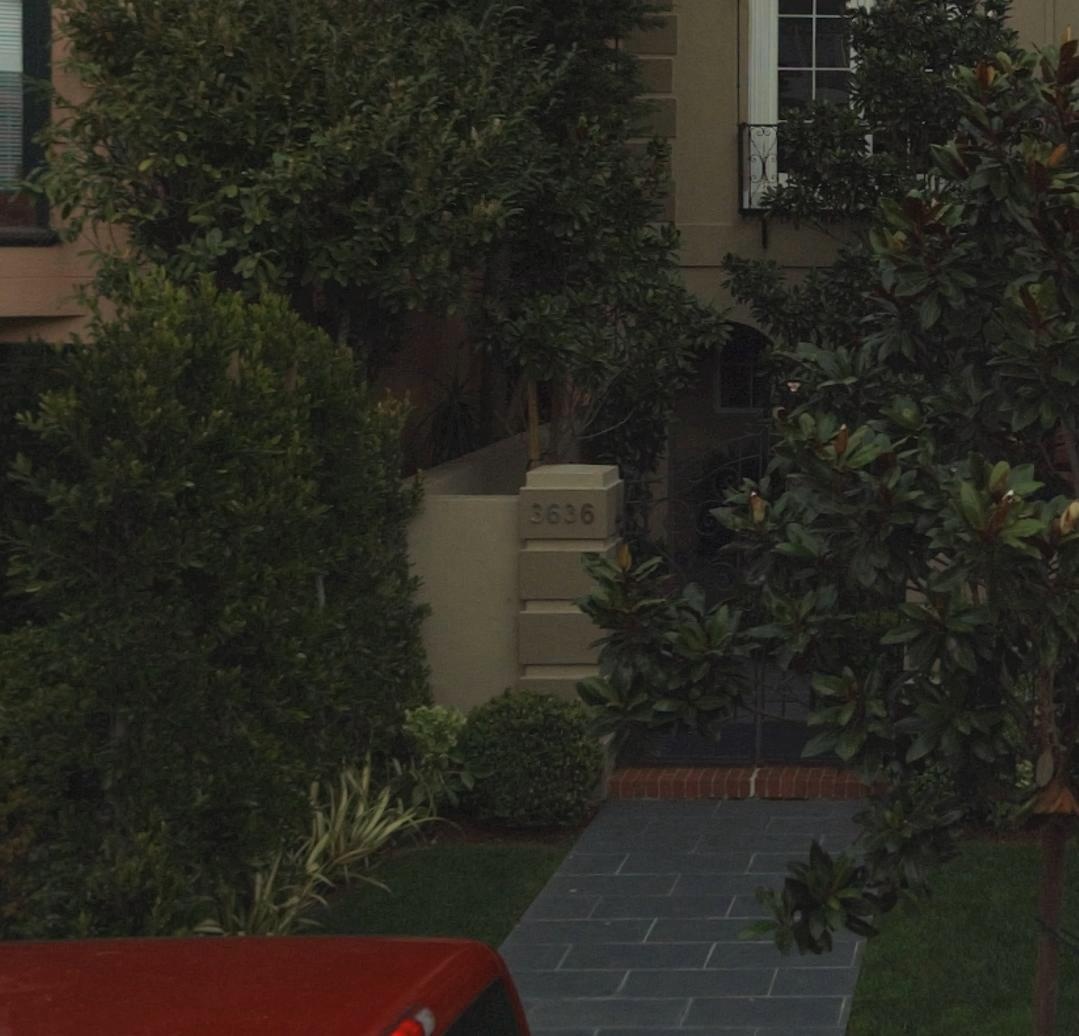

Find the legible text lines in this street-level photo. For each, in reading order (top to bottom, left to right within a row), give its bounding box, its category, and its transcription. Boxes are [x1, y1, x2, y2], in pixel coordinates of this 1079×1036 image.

[526, 498, 597, 529] StreetNumber: 3636